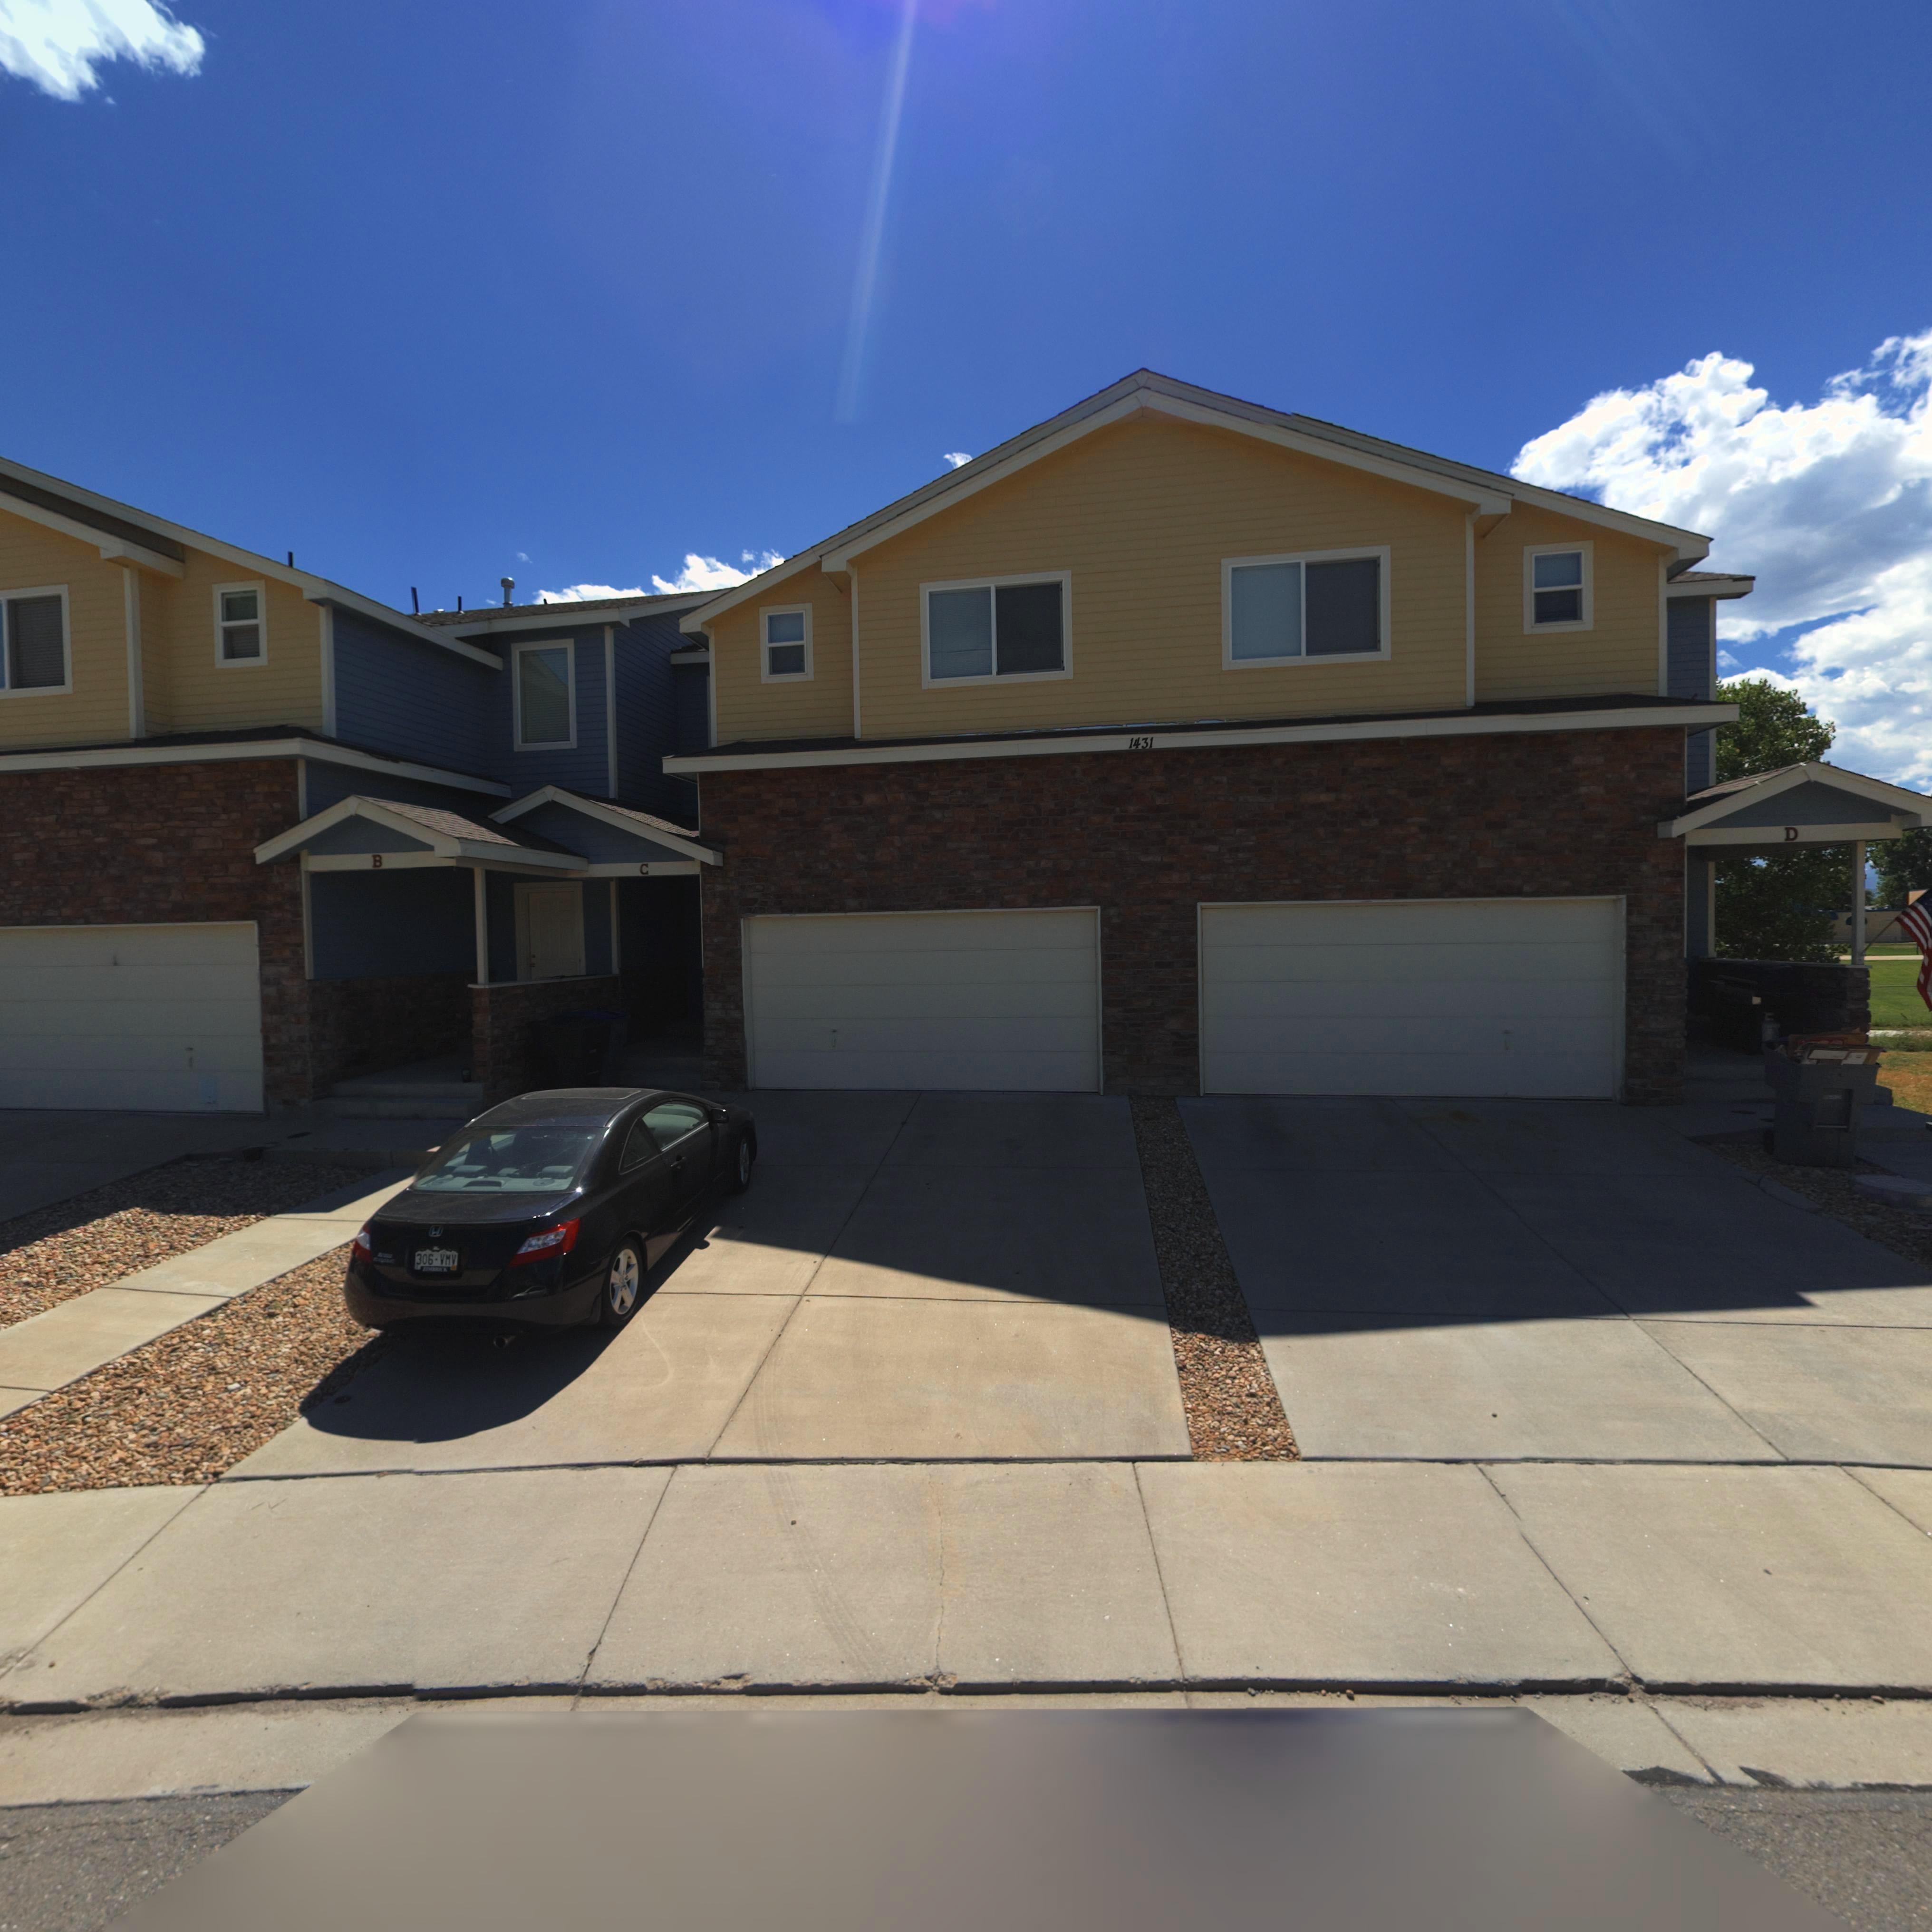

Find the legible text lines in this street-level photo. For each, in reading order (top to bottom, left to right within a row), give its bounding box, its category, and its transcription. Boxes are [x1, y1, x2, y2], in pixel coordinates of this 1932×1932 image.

[1128, 736, 1154, 749] StreetNumber: 1431
[1784, 826, 1798, 842] SecondaryUnitDesignator: D
[371, 853, 382, 868] SecondaryUnitDesignator: B
[638, 862, 649, 875] SecondaryUnitDesignator: C